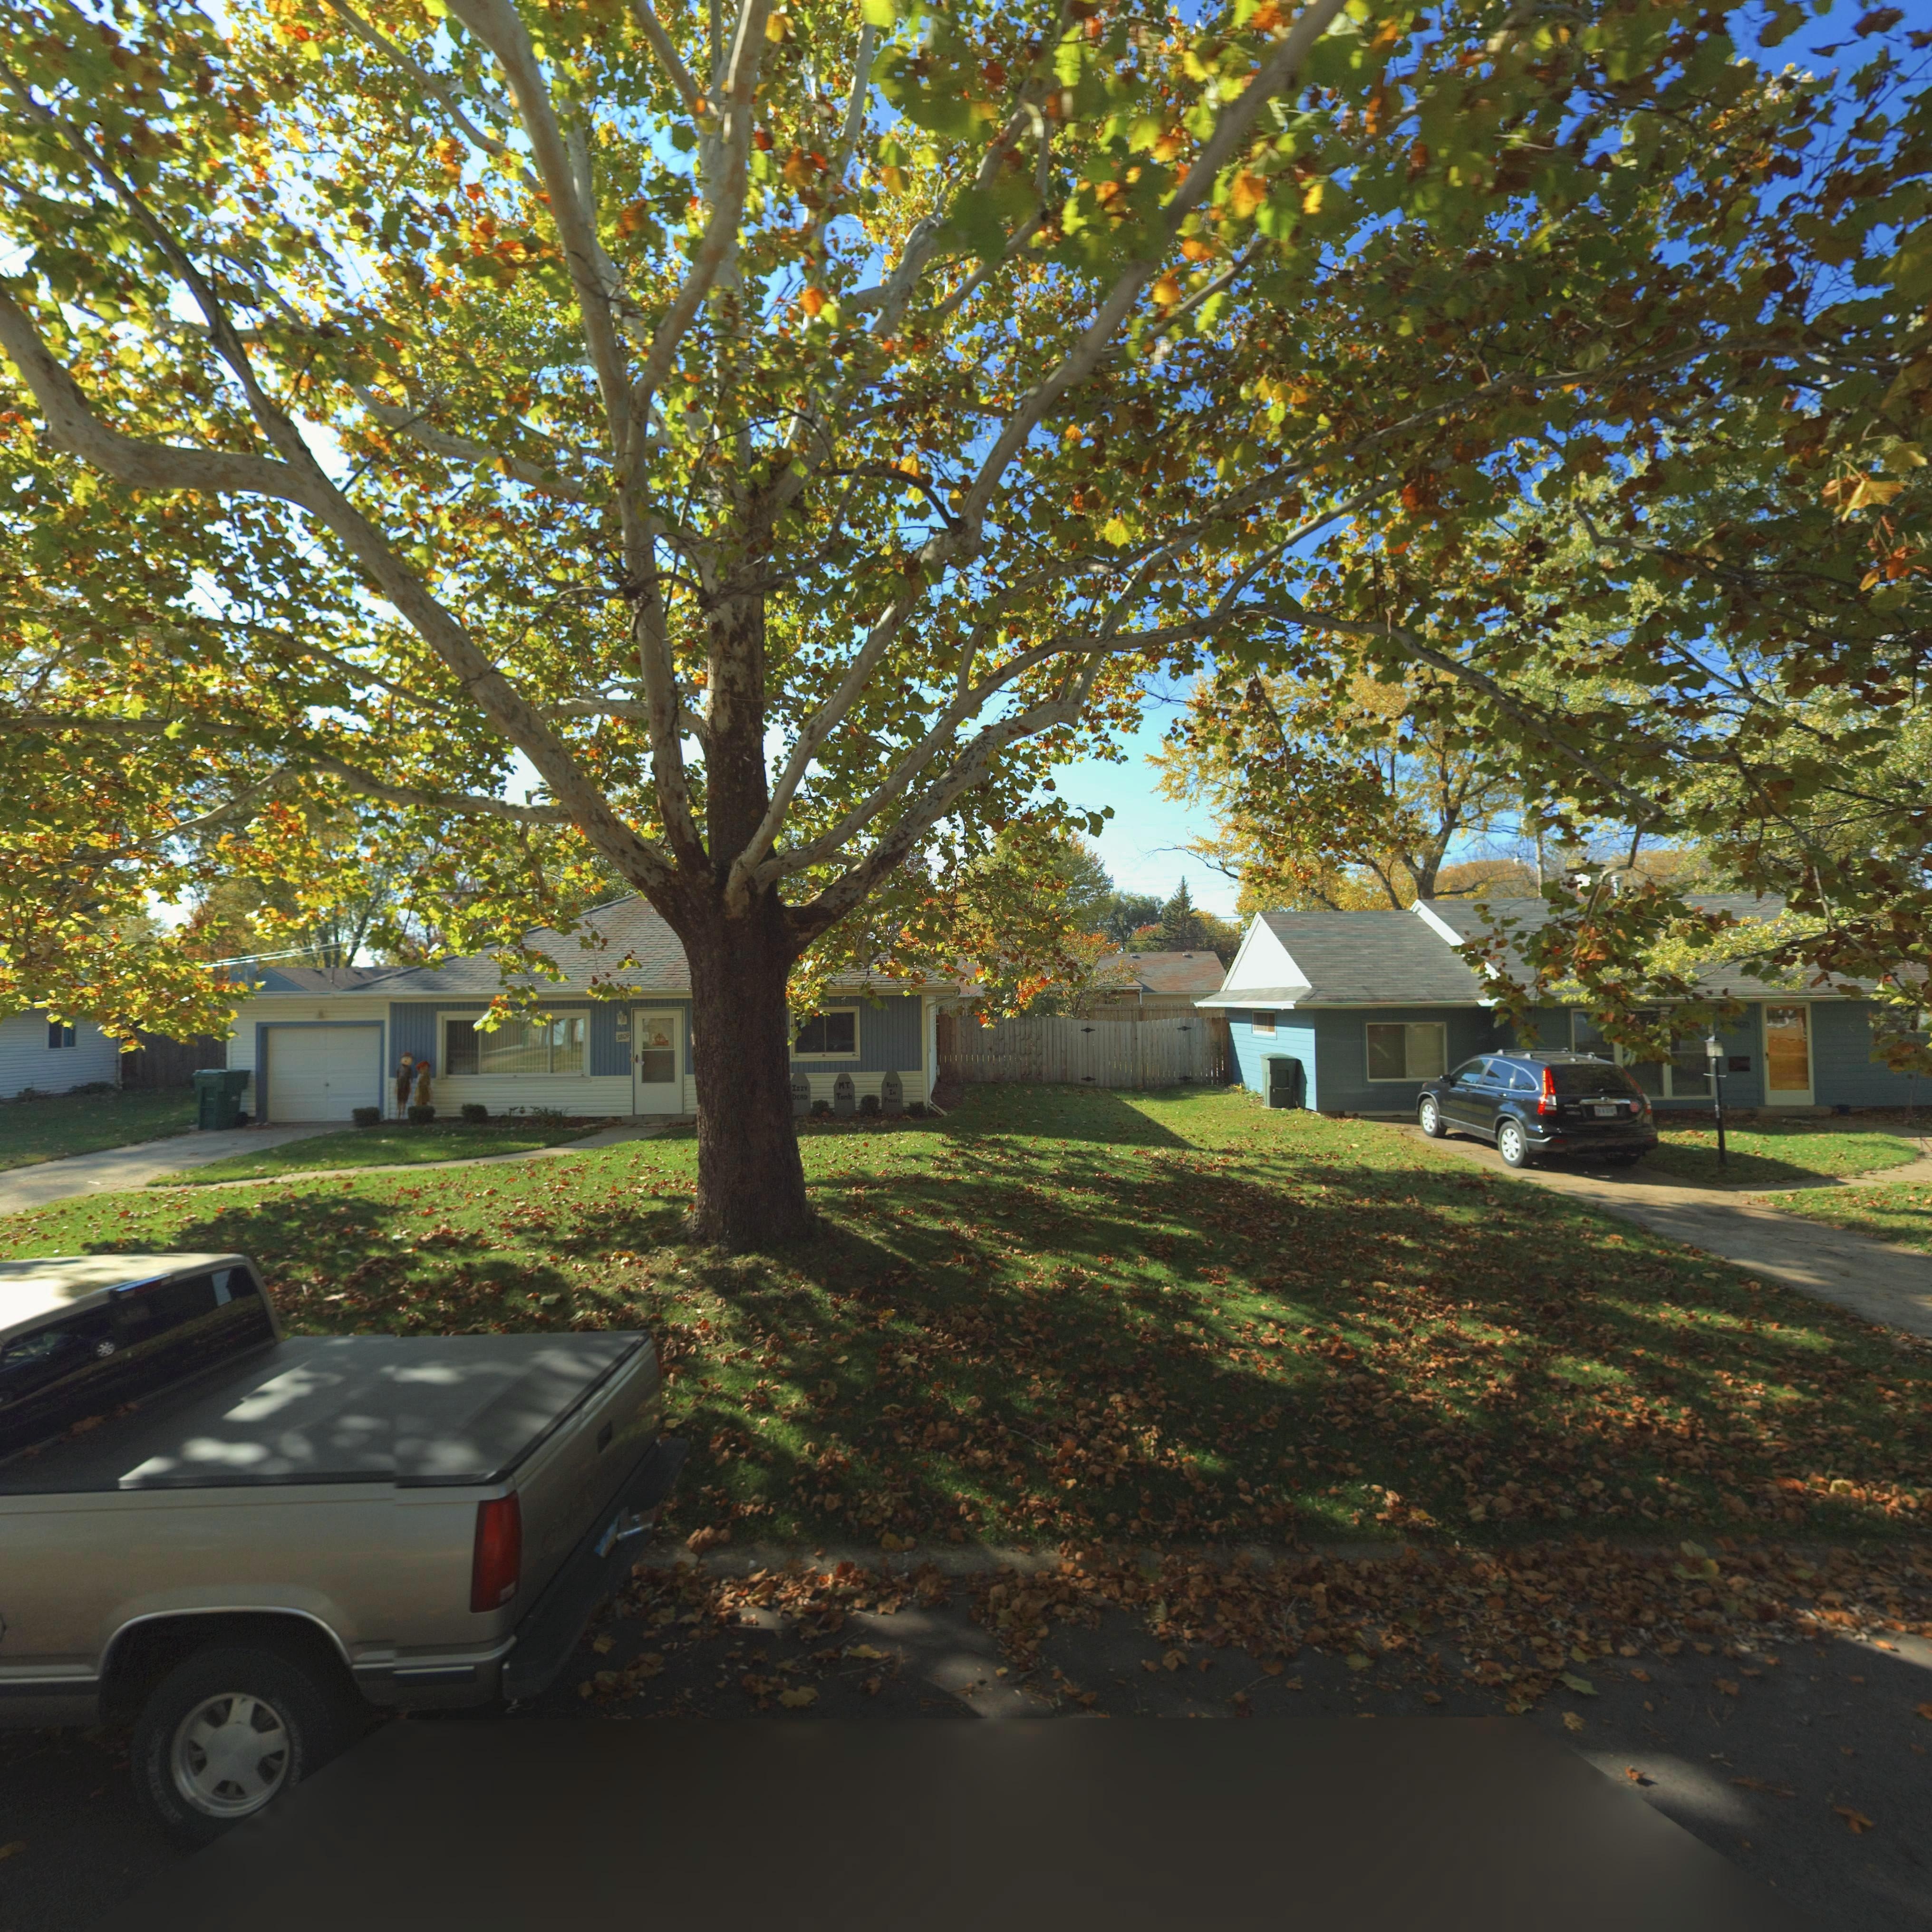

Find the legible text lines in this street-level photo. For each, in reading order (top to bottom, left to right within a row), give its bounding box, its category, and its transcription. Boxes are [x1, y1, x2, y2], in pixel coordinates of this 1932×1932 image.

[617, 1032, 630, 1042] StreetNumber: 3809
[791, 1084, 808, 1092] None: Izzy
[838, 1082, 850, 1090] None: M.T.
[886, 1081, 898, 1088] None: Rest
[792, 1093, 808, 1100] None: DEAD
[836, 1092, 852, 1100] None: Tomb
[884, 1096, 900, 1103] None: Pieces
[889, 1089, 897, 1095] None: In